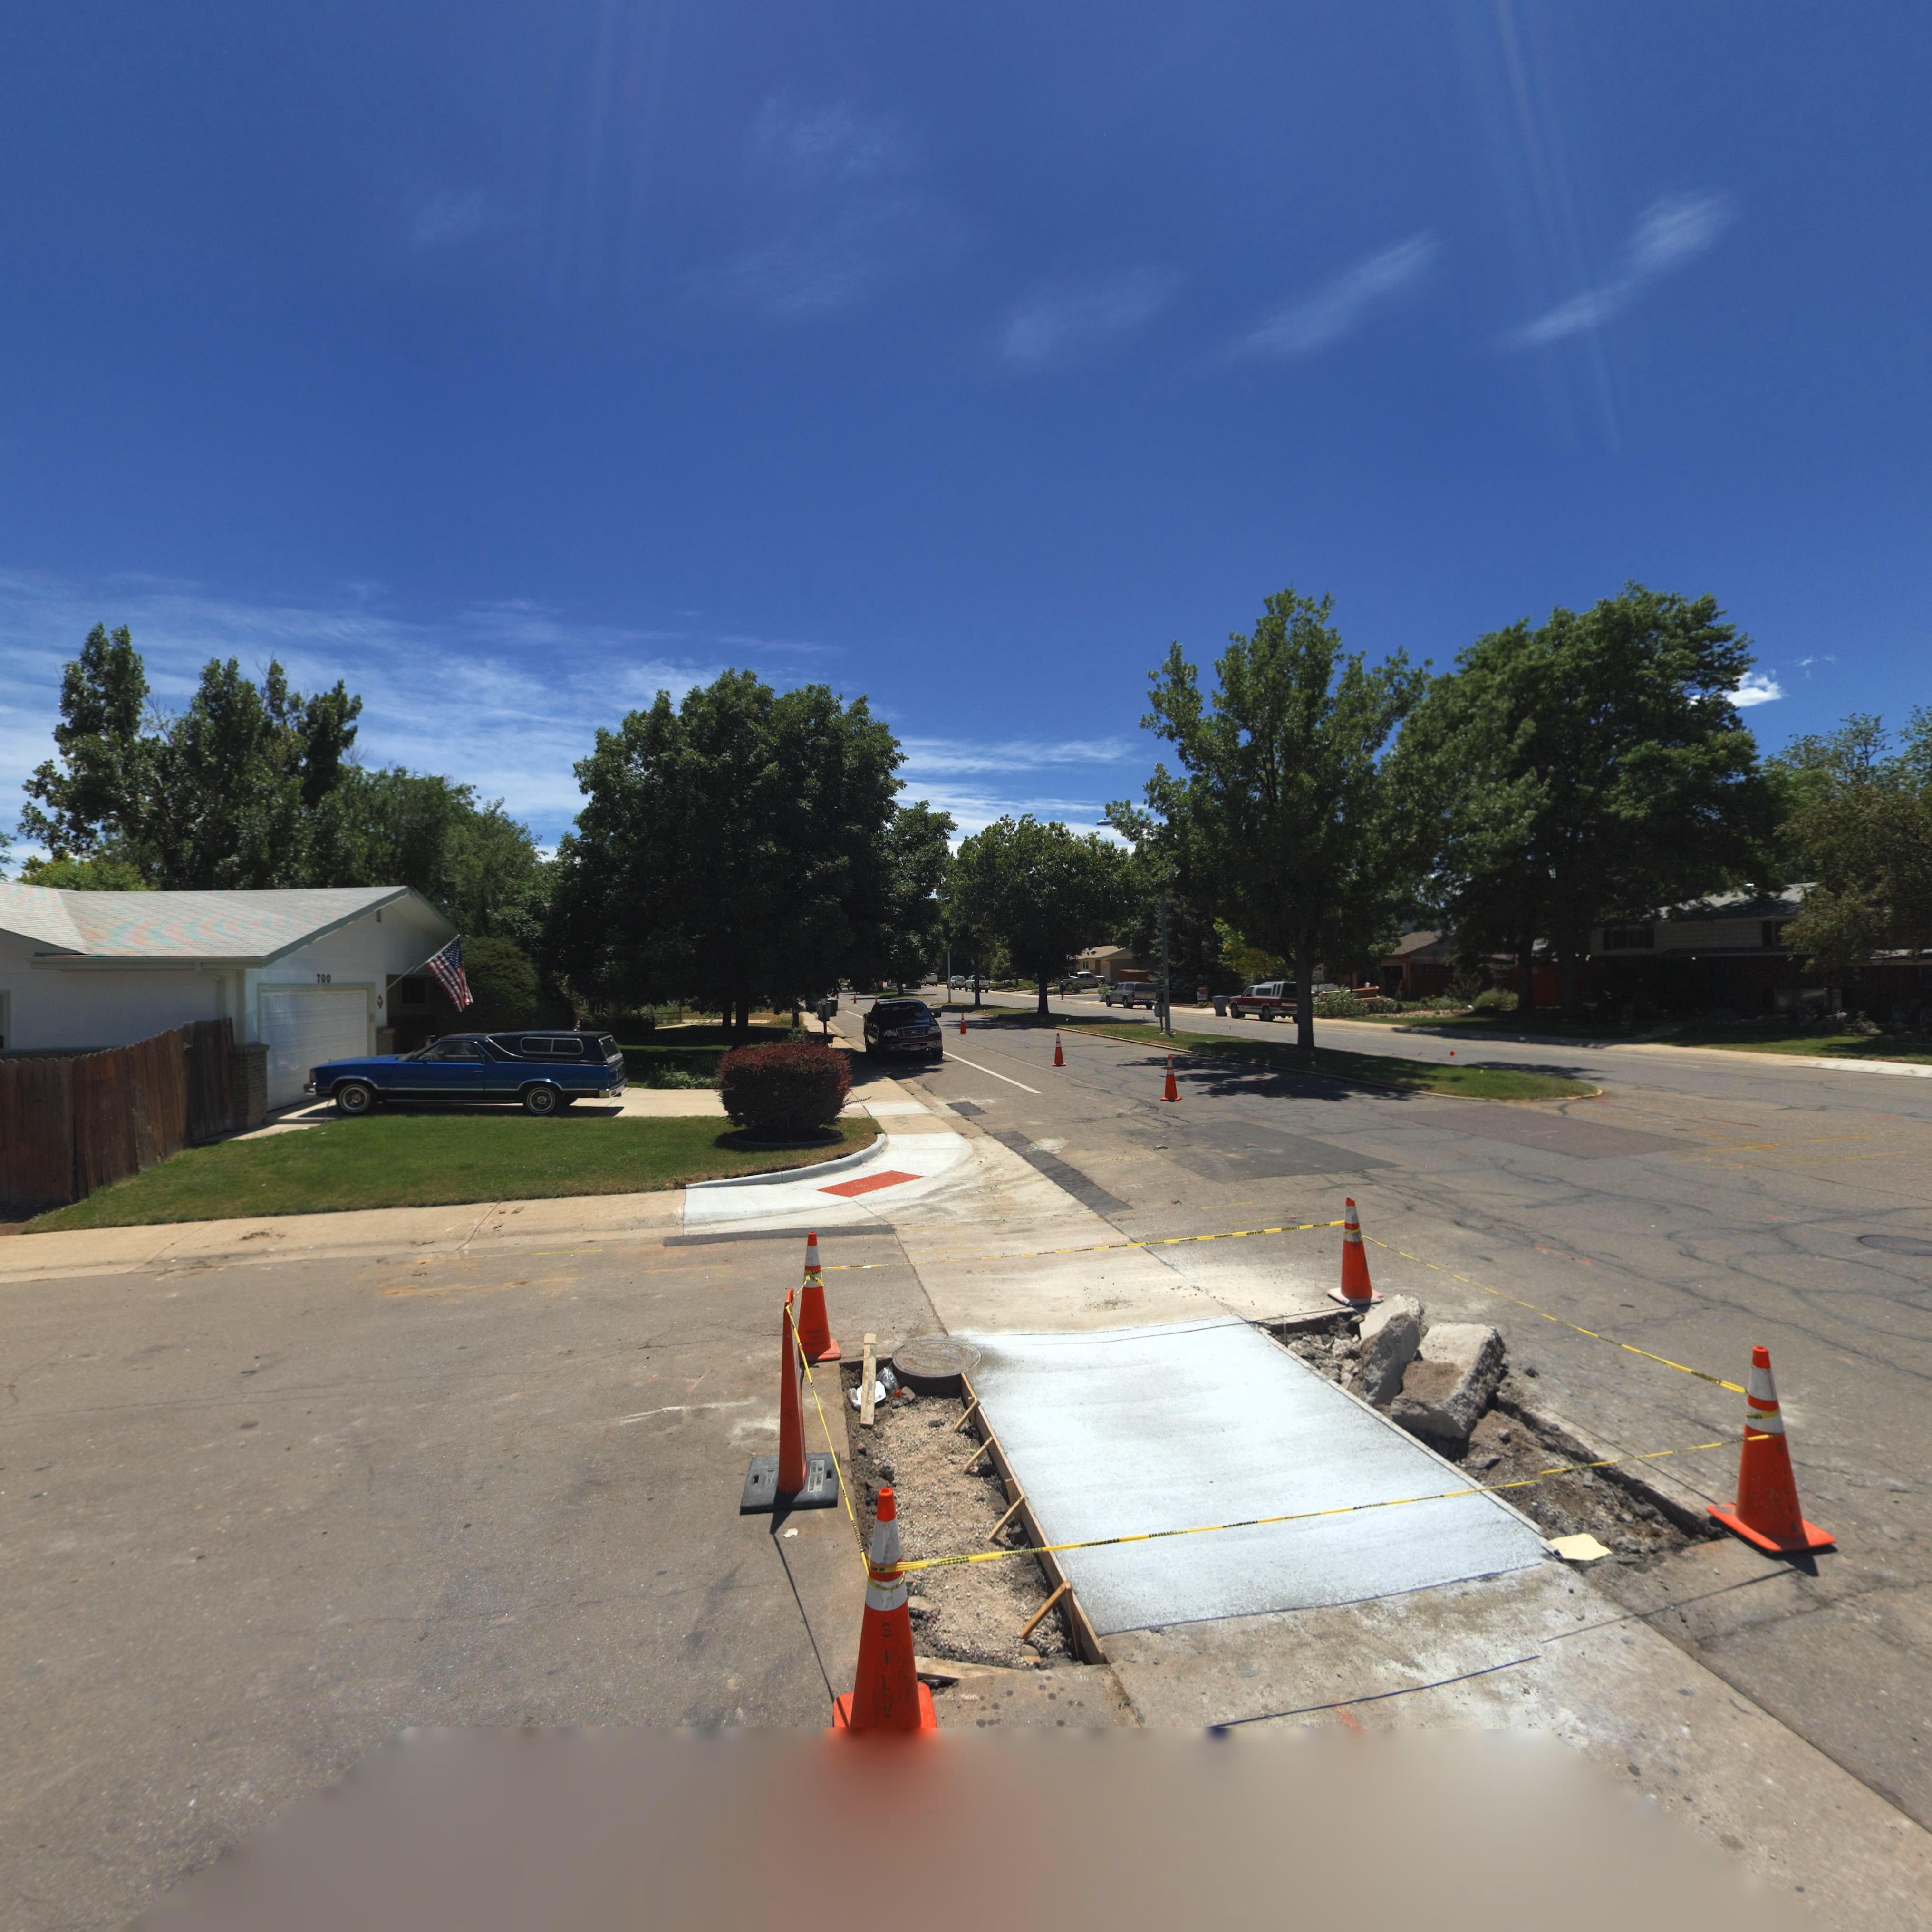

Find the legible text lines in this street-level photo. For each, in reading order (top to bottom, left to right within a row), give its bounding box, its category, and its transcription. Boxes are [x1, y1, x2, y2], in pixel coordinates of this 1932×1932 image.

[315, 973, 331, 983] StreetNumber: 700